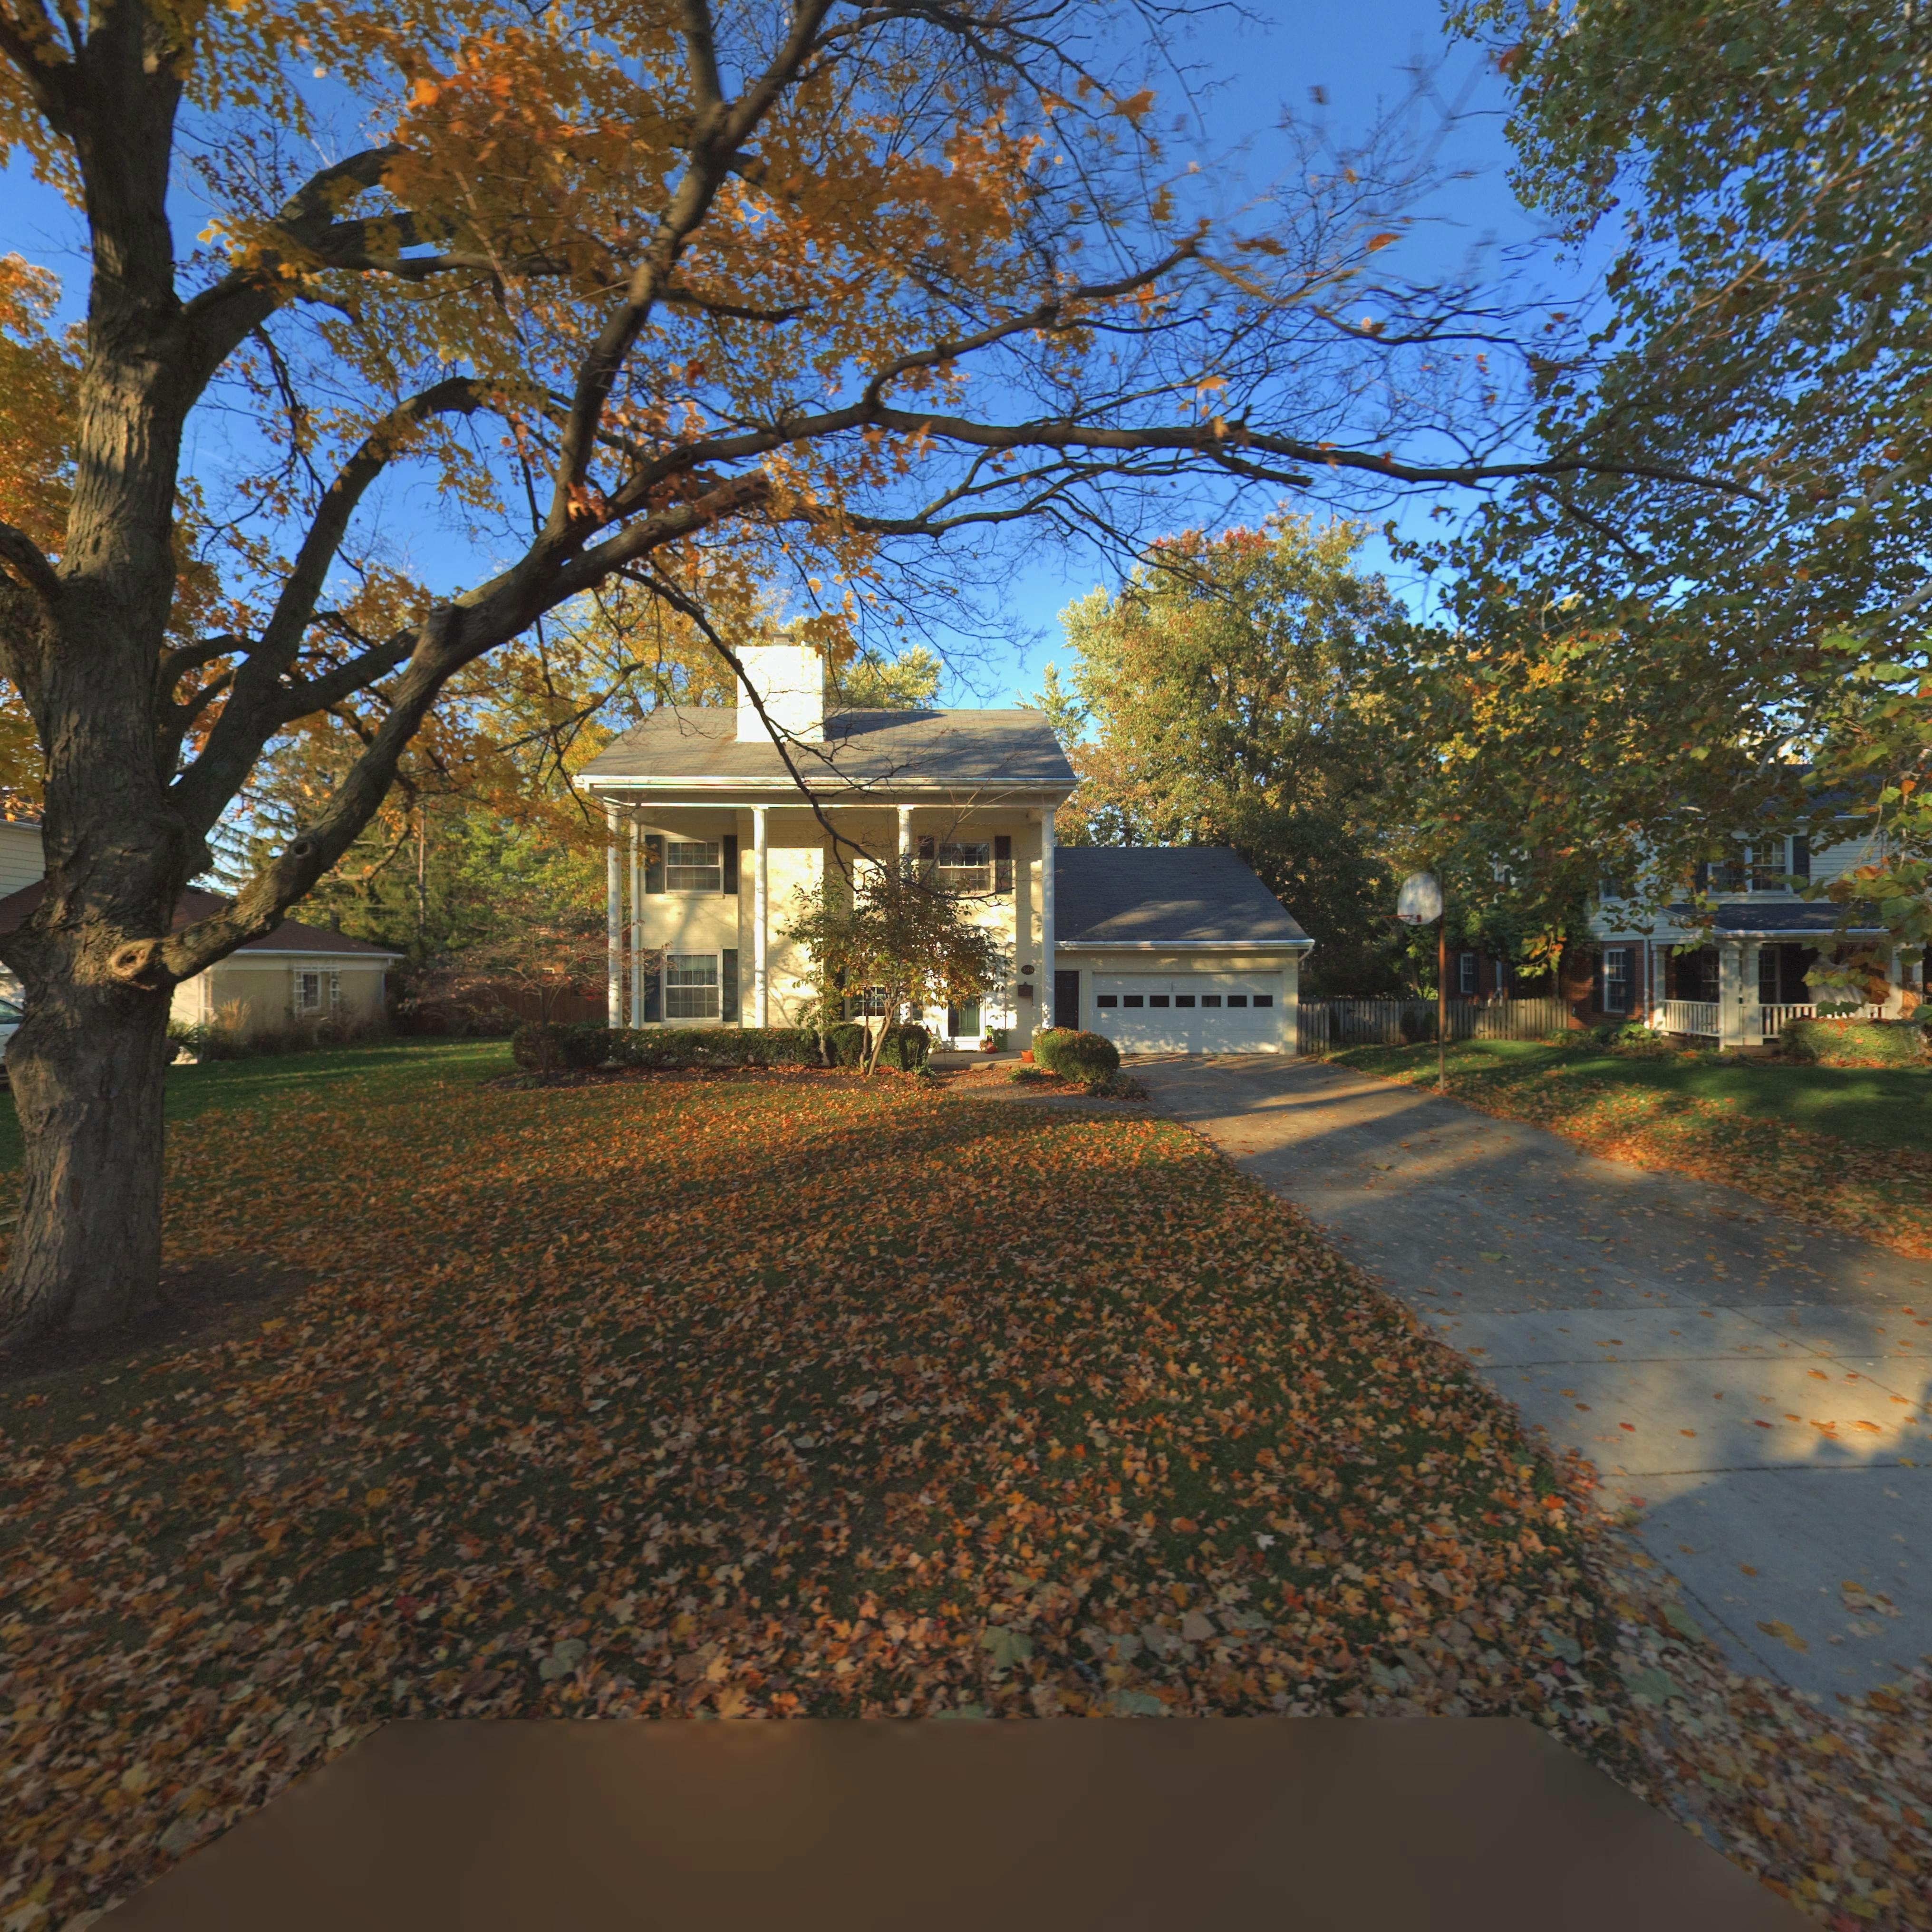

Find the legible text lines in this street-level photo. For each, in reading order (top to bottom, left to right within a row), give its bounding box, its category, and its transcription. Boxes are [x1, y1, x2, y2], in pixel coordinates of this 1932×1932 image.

[1021, 966, 1034, 973] StreetNumber: 34*